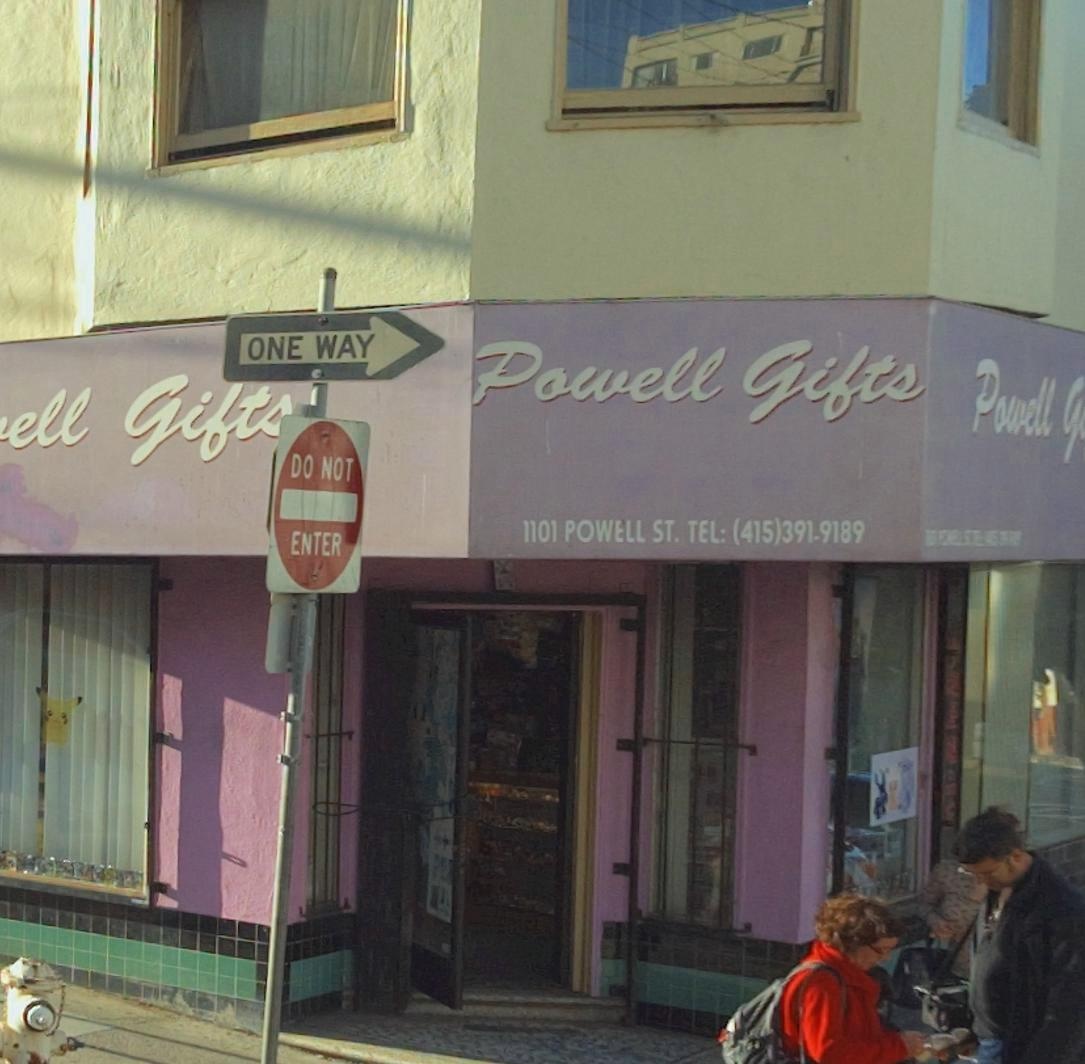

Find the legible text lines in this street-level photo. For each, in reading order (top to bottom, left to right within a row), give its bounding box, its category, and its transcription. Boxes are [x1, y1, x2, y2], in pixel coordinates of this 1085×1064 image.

[245, 331, 377, 362] None: ONE WAY
[468, 336, 929, 427] BusinessName: Powell Gifts
[4, 371, 297, 469] BusinessName: ell Gifts
[969, 355, 1085, 471] BusinessName: Powell G
[289, 450, 358, 485] None: DO NOT
[287, 527, 344, 560] None: ENTER
[522, 516, 559, 544] StreetNumber: 1101
[561, 516, 682, 547] StreetName: POWELL ST.
[684, 516, 869, 545] None: TEL: (415)391-9189